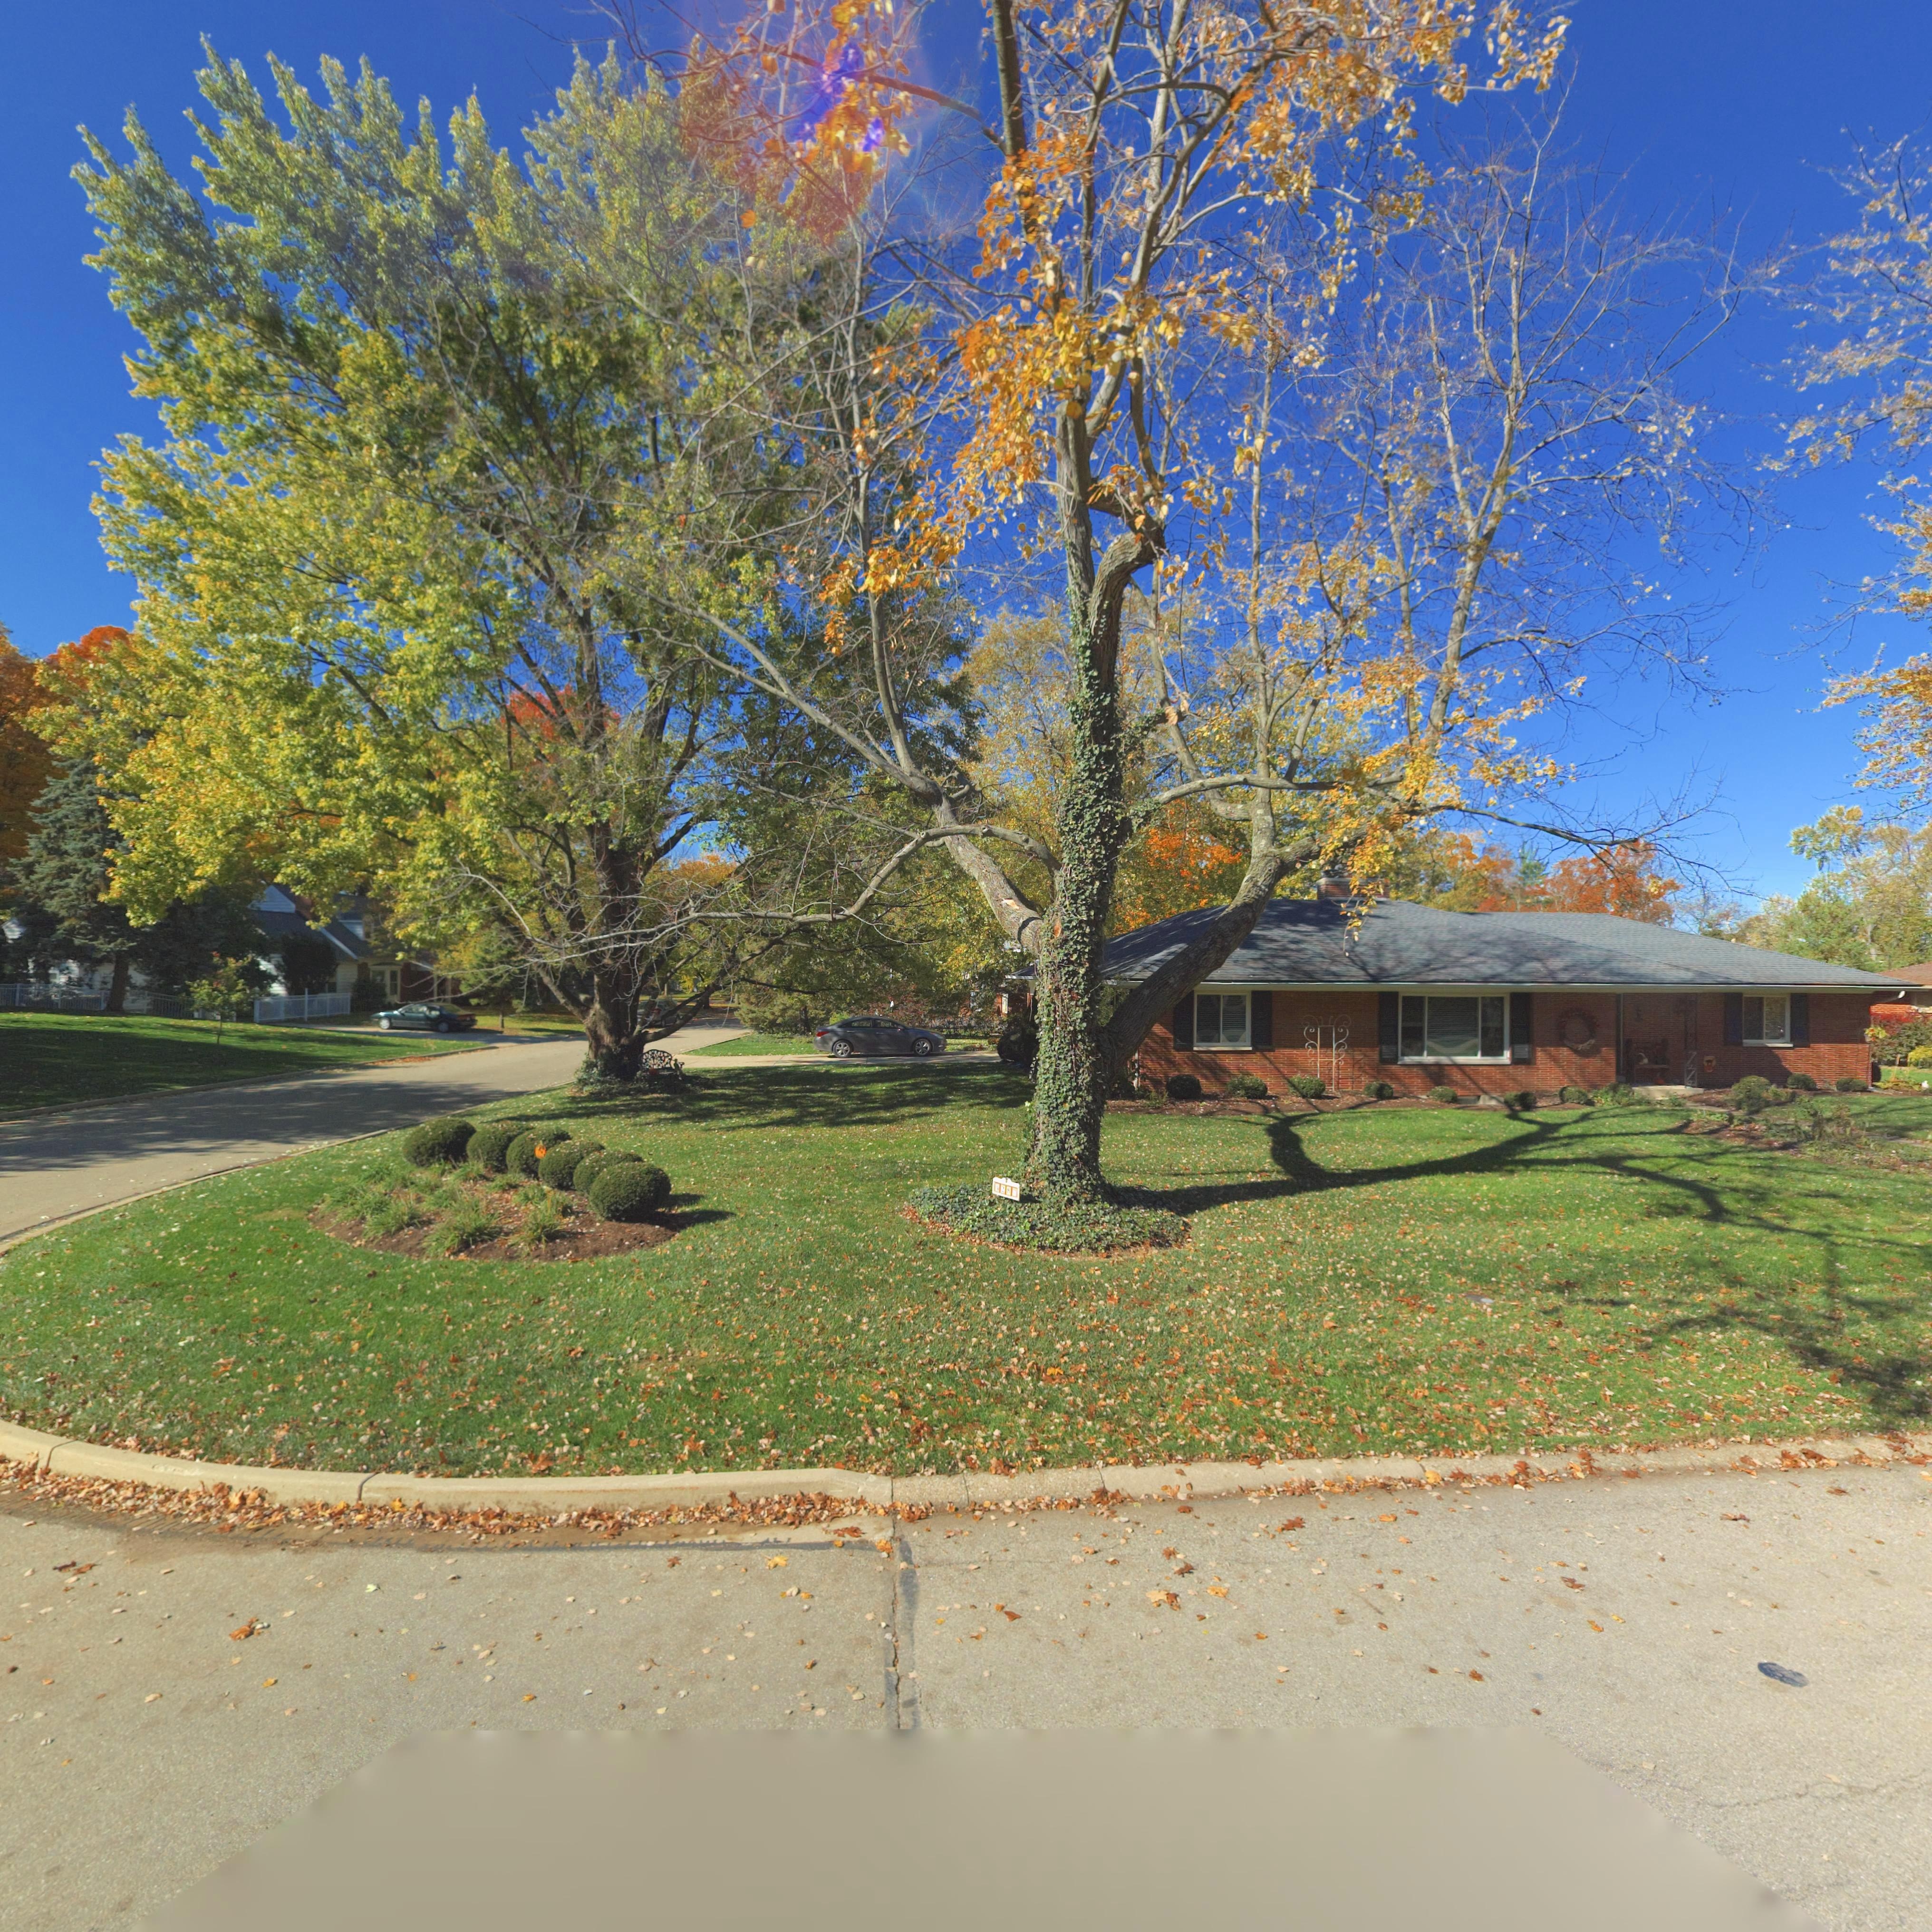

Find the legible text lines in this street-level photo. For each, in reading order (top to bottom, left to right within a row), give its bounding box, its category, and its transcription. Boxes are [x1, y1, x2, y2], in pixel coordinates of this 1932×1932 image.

[995, 1183, 1017, 1198] StreetNumber: 4287